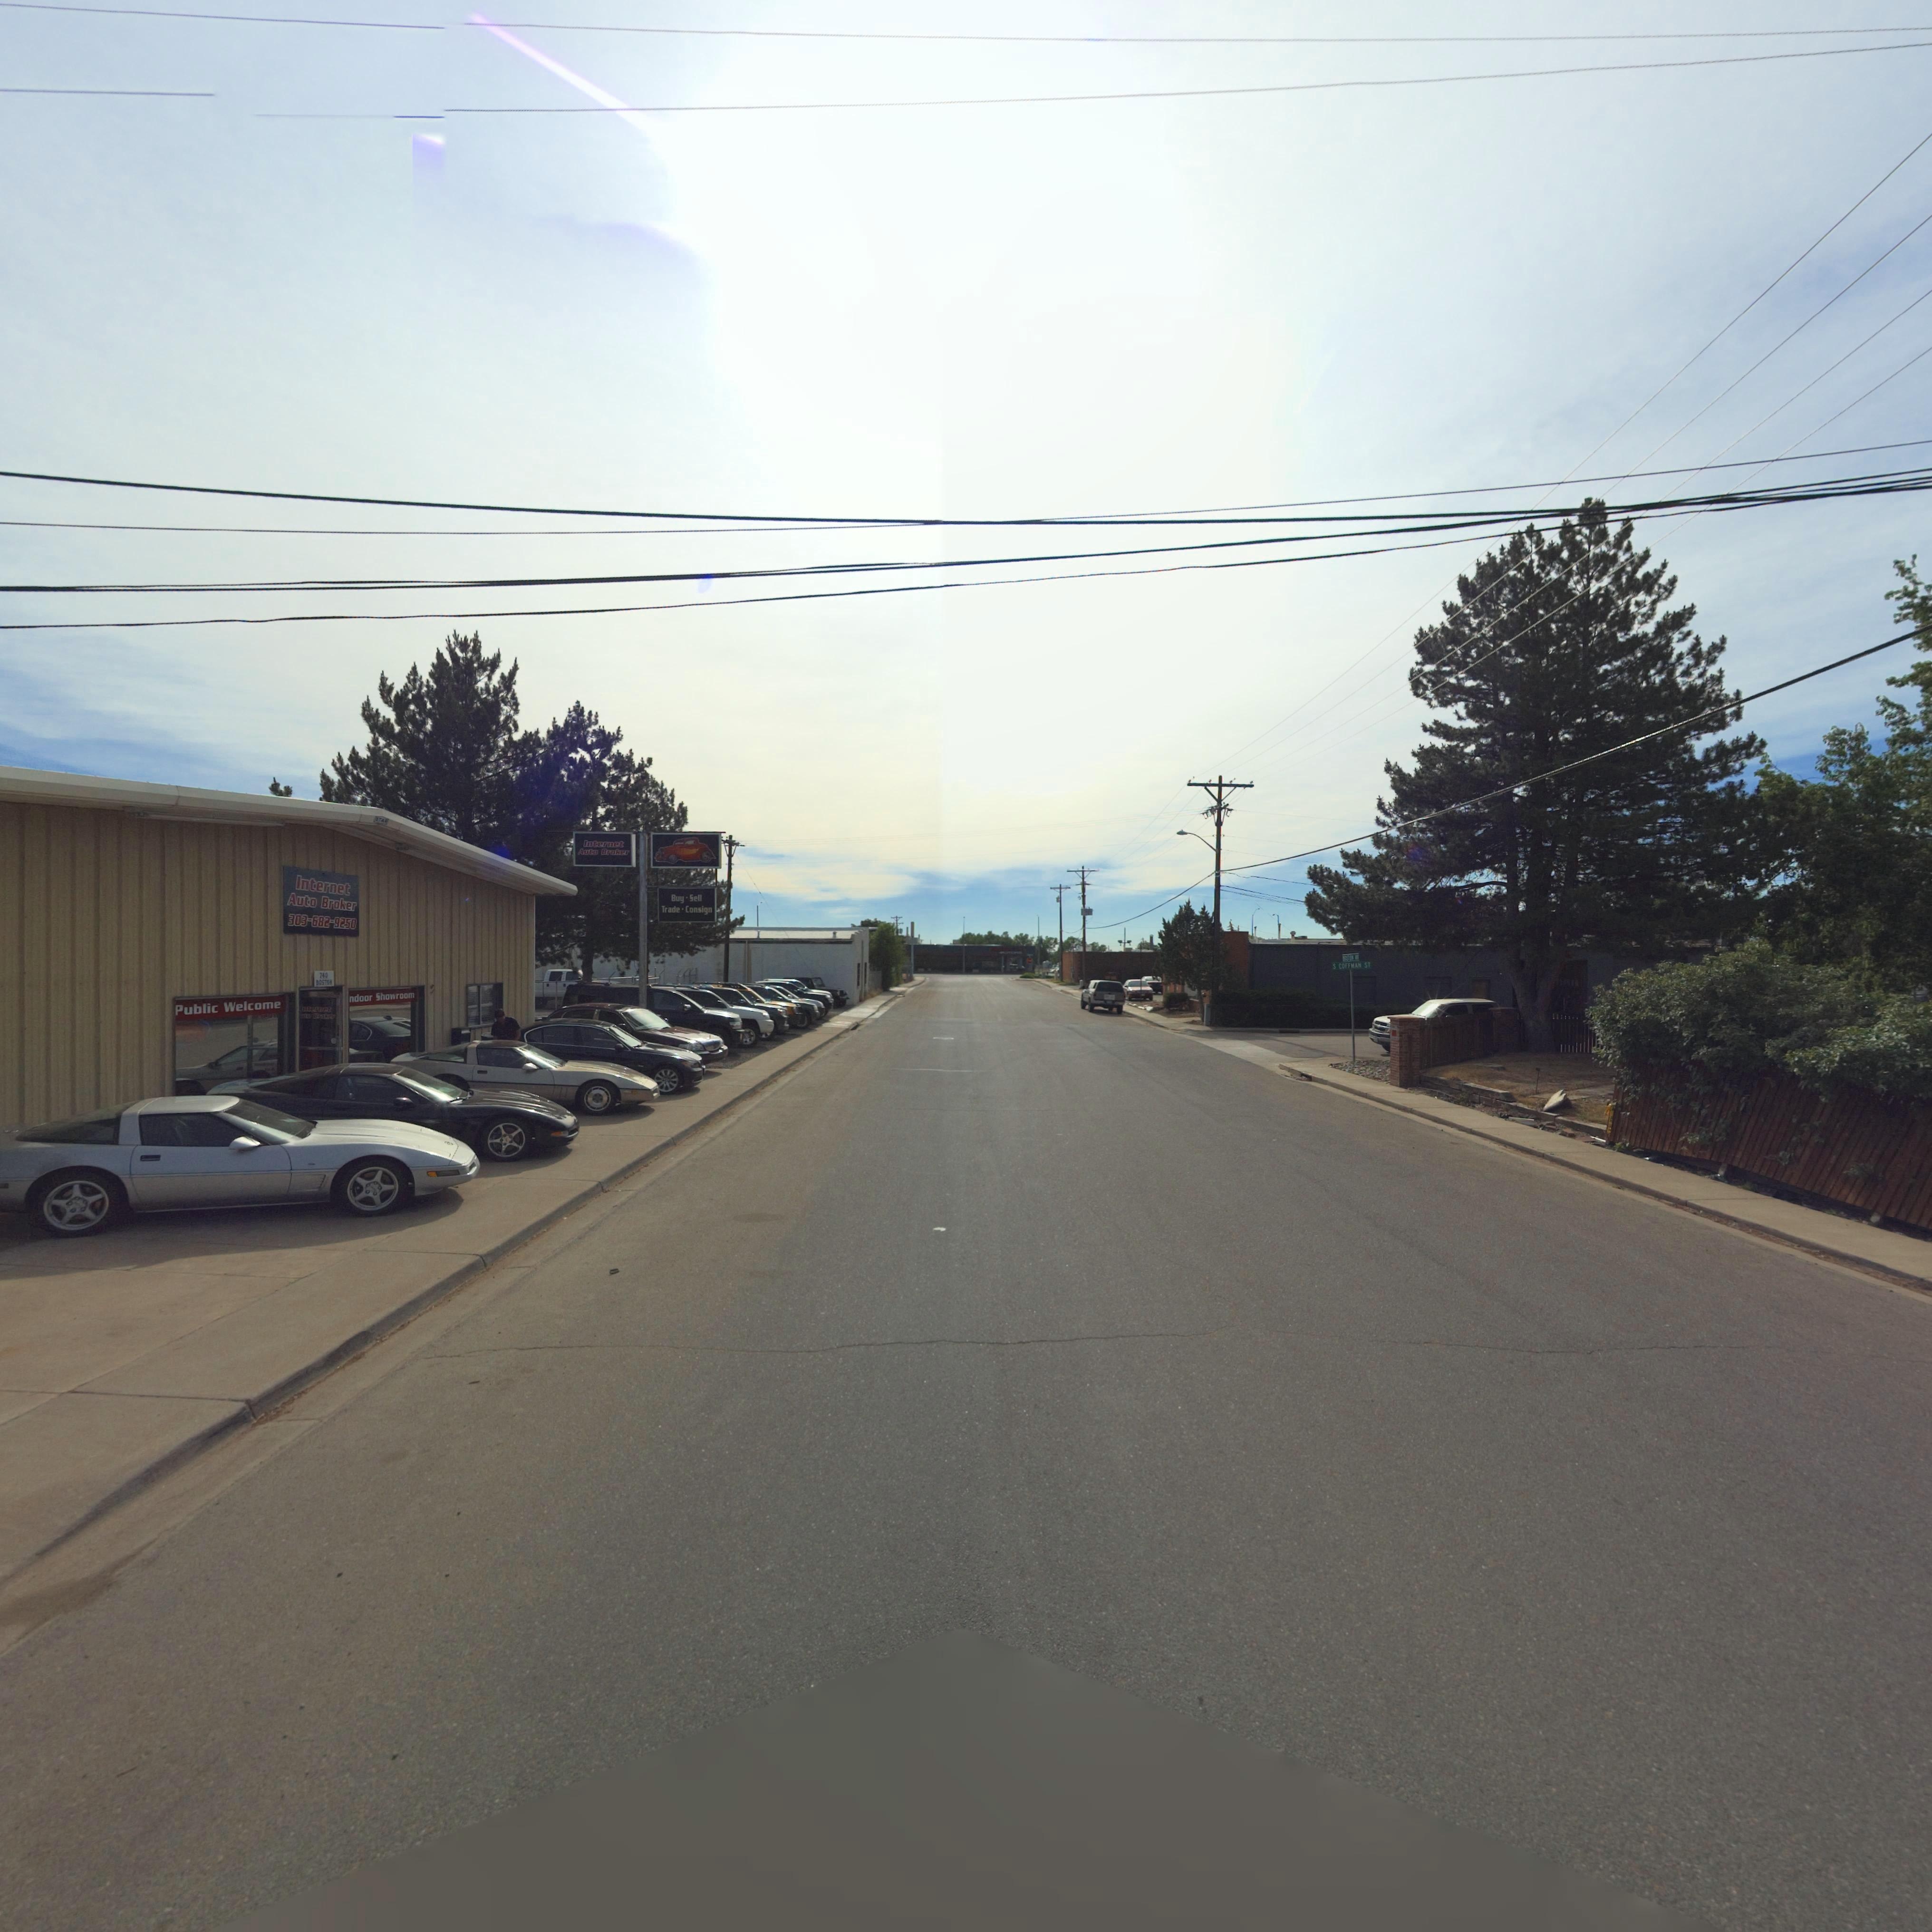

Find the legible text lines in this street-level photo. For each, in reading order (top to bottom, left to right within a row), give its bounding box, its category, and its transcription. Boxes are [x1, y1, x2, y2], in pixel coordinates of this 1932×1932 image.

[582, 839, 625, 848] BusinessName: Internet
[576, 846, 630, 856] BusinessName: Auto Broker
[294, 872, 352, 896] BusinessName: Internet
[285, 891, 357, 912] BusinessName: Auto Broker
[1342, 954, 1359, 961] StreetName: * AV
[319, 971, 328, 979] StreetNumber: 740
[315, 978, 332, 985] StreetName: BOSTON
[299, 1005, 332, 1013] BusinessName: *n***net
[299, 1012, 336, 1019] BusinessName: ***o B**k***